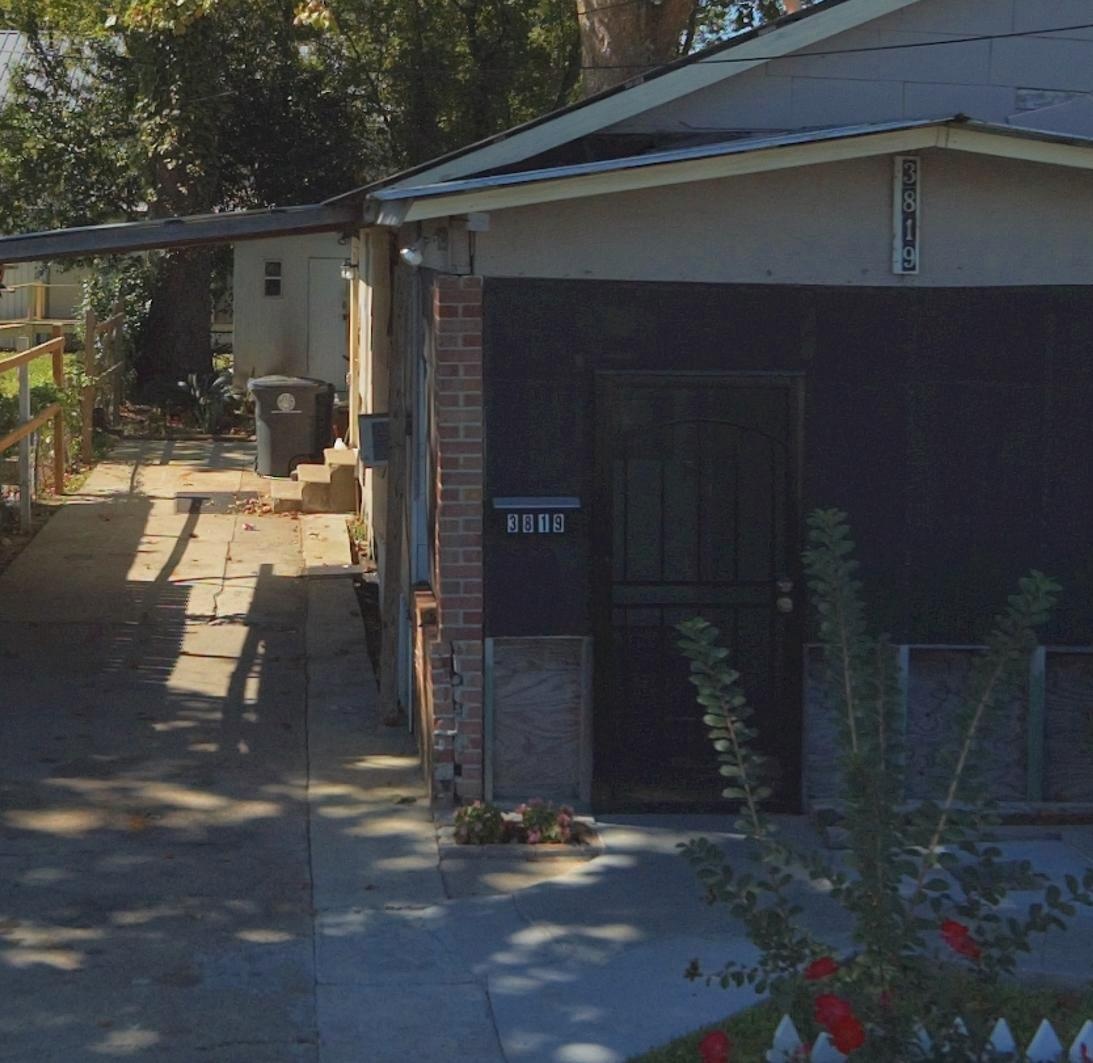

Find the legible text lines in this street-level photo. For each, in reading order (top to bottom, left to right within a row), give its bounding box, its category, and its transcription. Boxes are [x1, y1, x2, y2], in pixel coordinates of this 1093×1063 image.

[901, 160, 916, 271] StreetNumber: 3819
[507, 513, 563, 532] StreetNumber: 3819